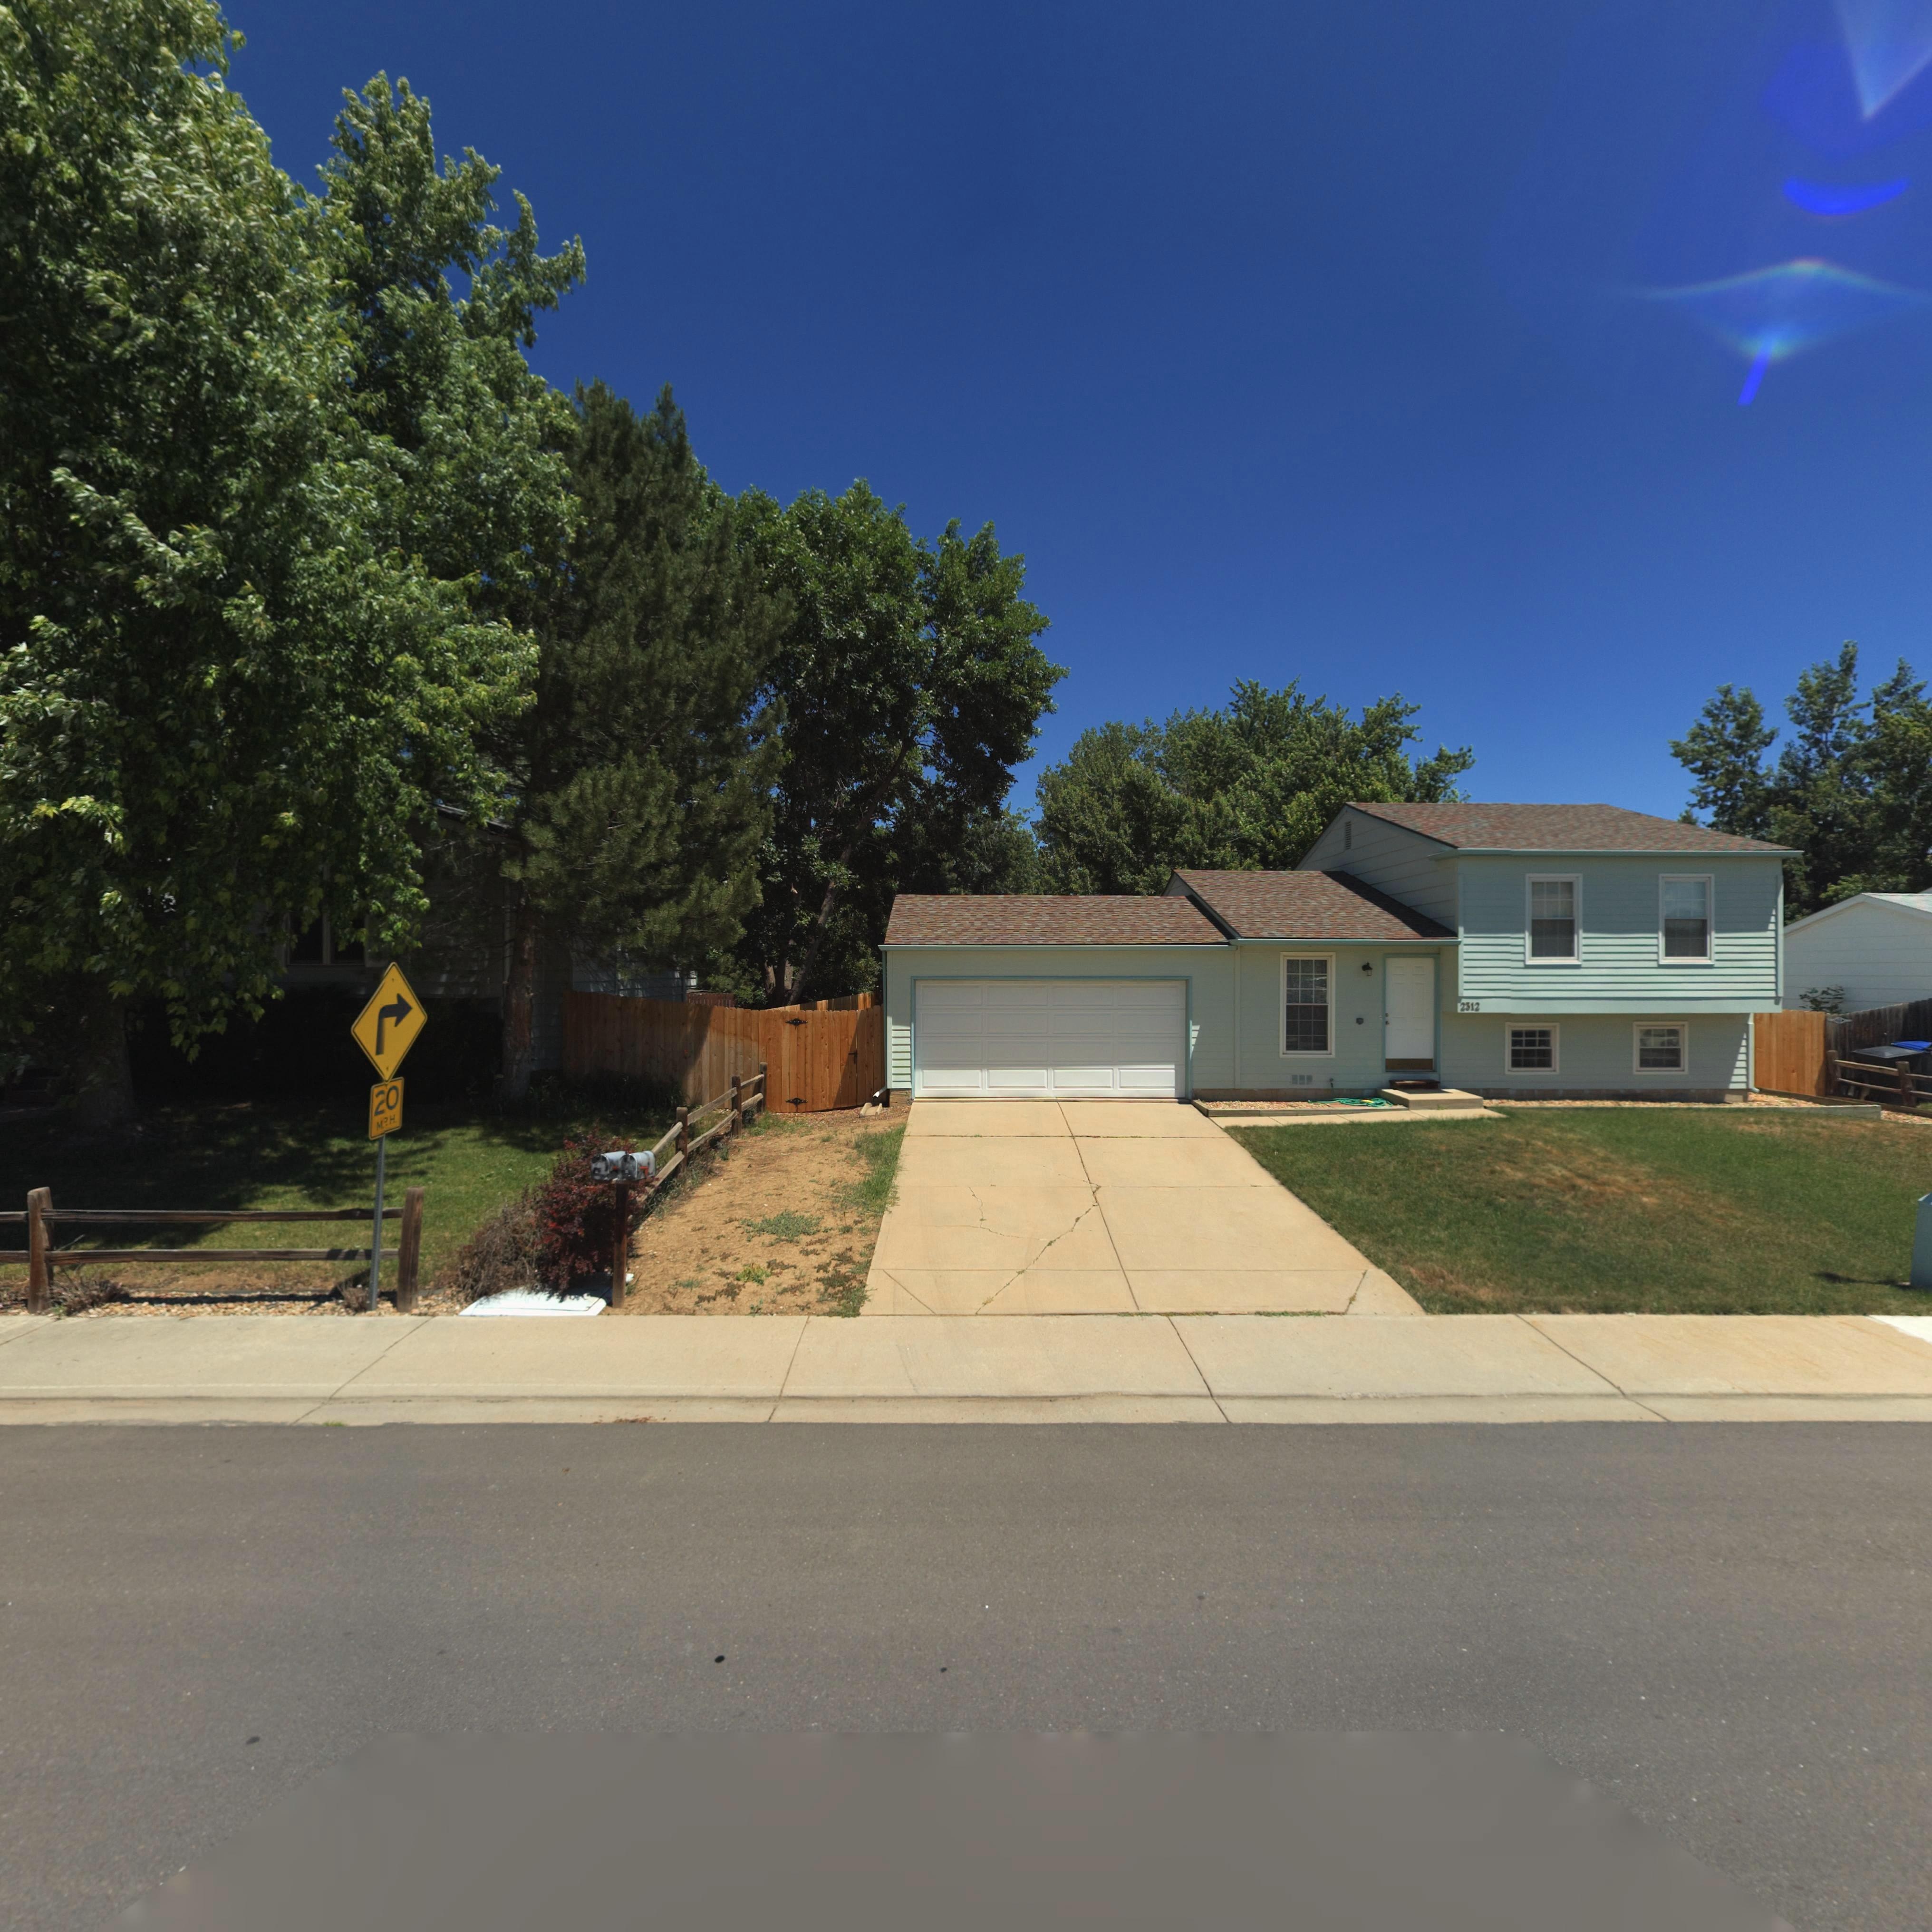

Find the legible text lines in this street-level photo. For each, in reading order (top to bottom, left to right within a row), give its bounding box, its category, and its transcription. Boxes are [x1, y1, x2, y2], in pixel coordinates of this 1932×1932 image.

[1459, 1001, 1480, 1012] StreetNumber: 2312